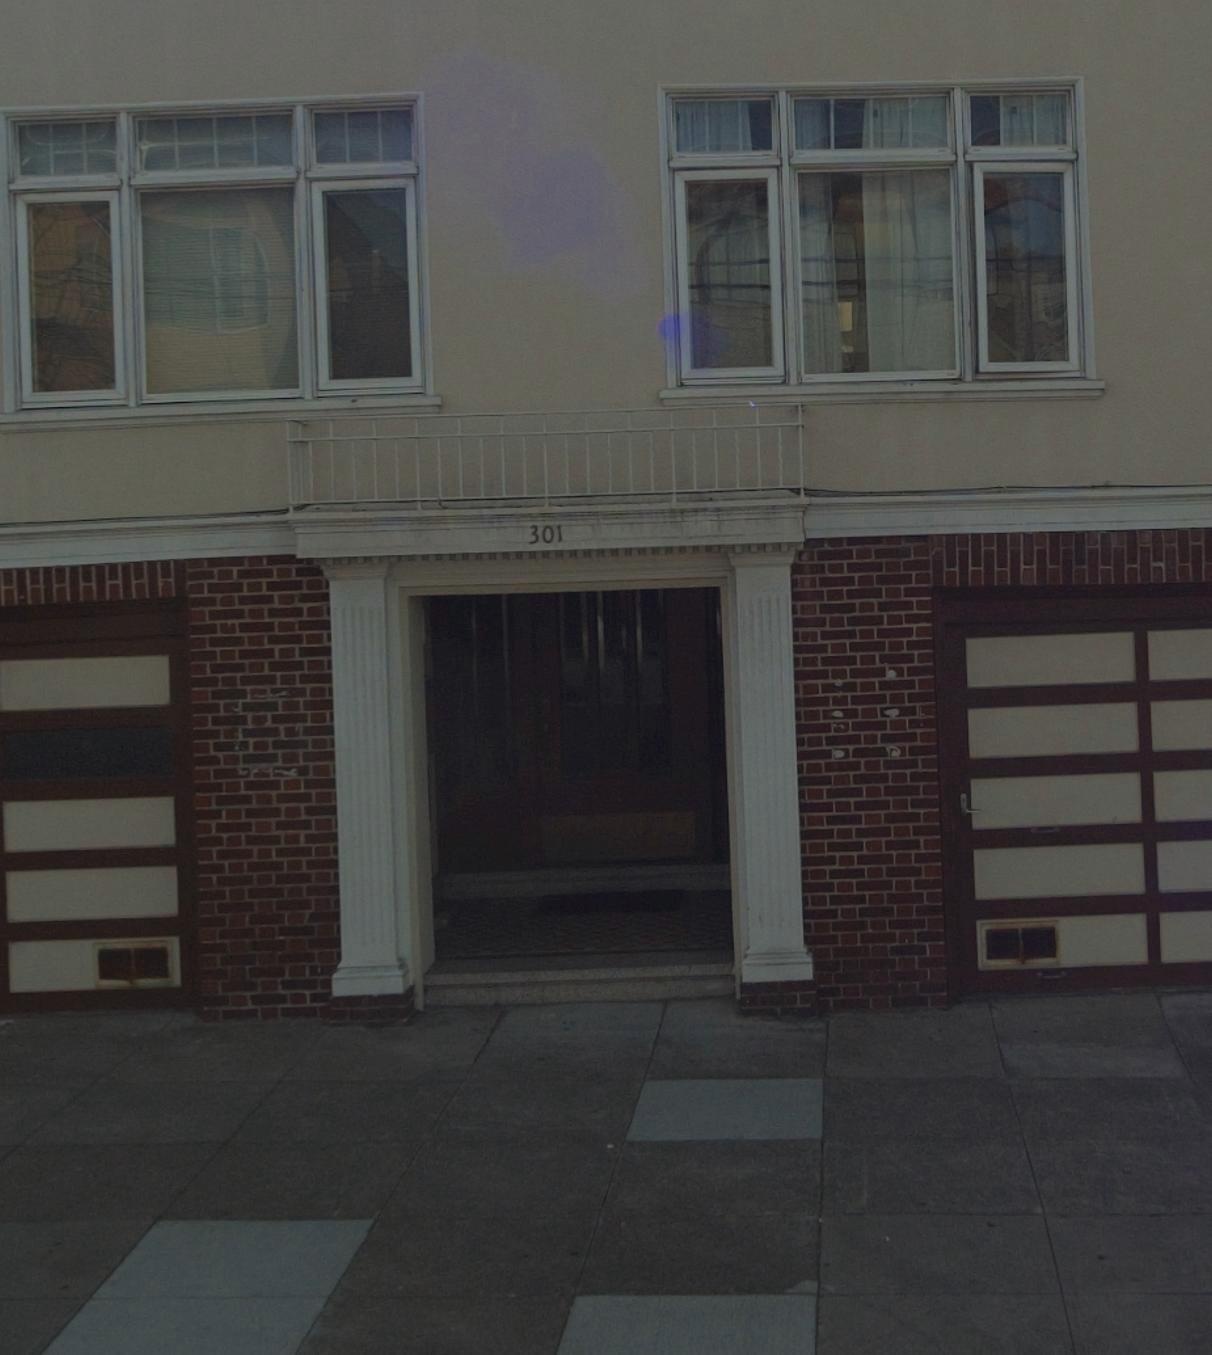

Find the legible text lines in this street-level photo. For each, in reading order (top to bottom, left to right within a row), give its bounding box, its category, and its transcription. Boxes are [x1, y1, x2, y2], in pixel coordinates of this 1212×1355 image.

[527, 524, 563, 545] StreetNumber: 301